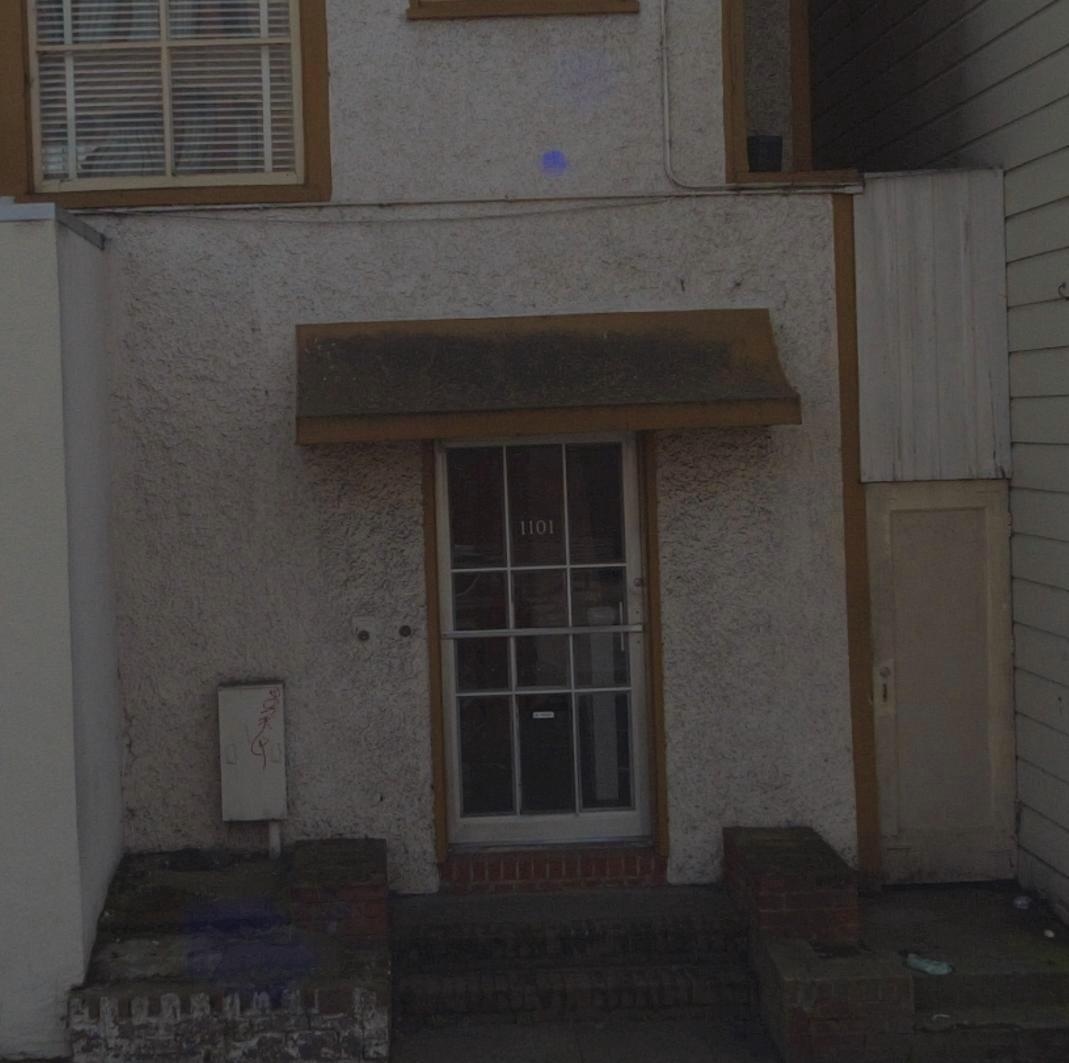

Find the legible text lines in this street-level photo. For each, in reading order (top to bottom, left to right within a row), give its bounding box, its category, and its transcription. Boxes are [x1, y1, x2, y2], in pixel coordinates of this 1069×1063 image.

[520, 518, 555, 537] StreetNumber: 1101